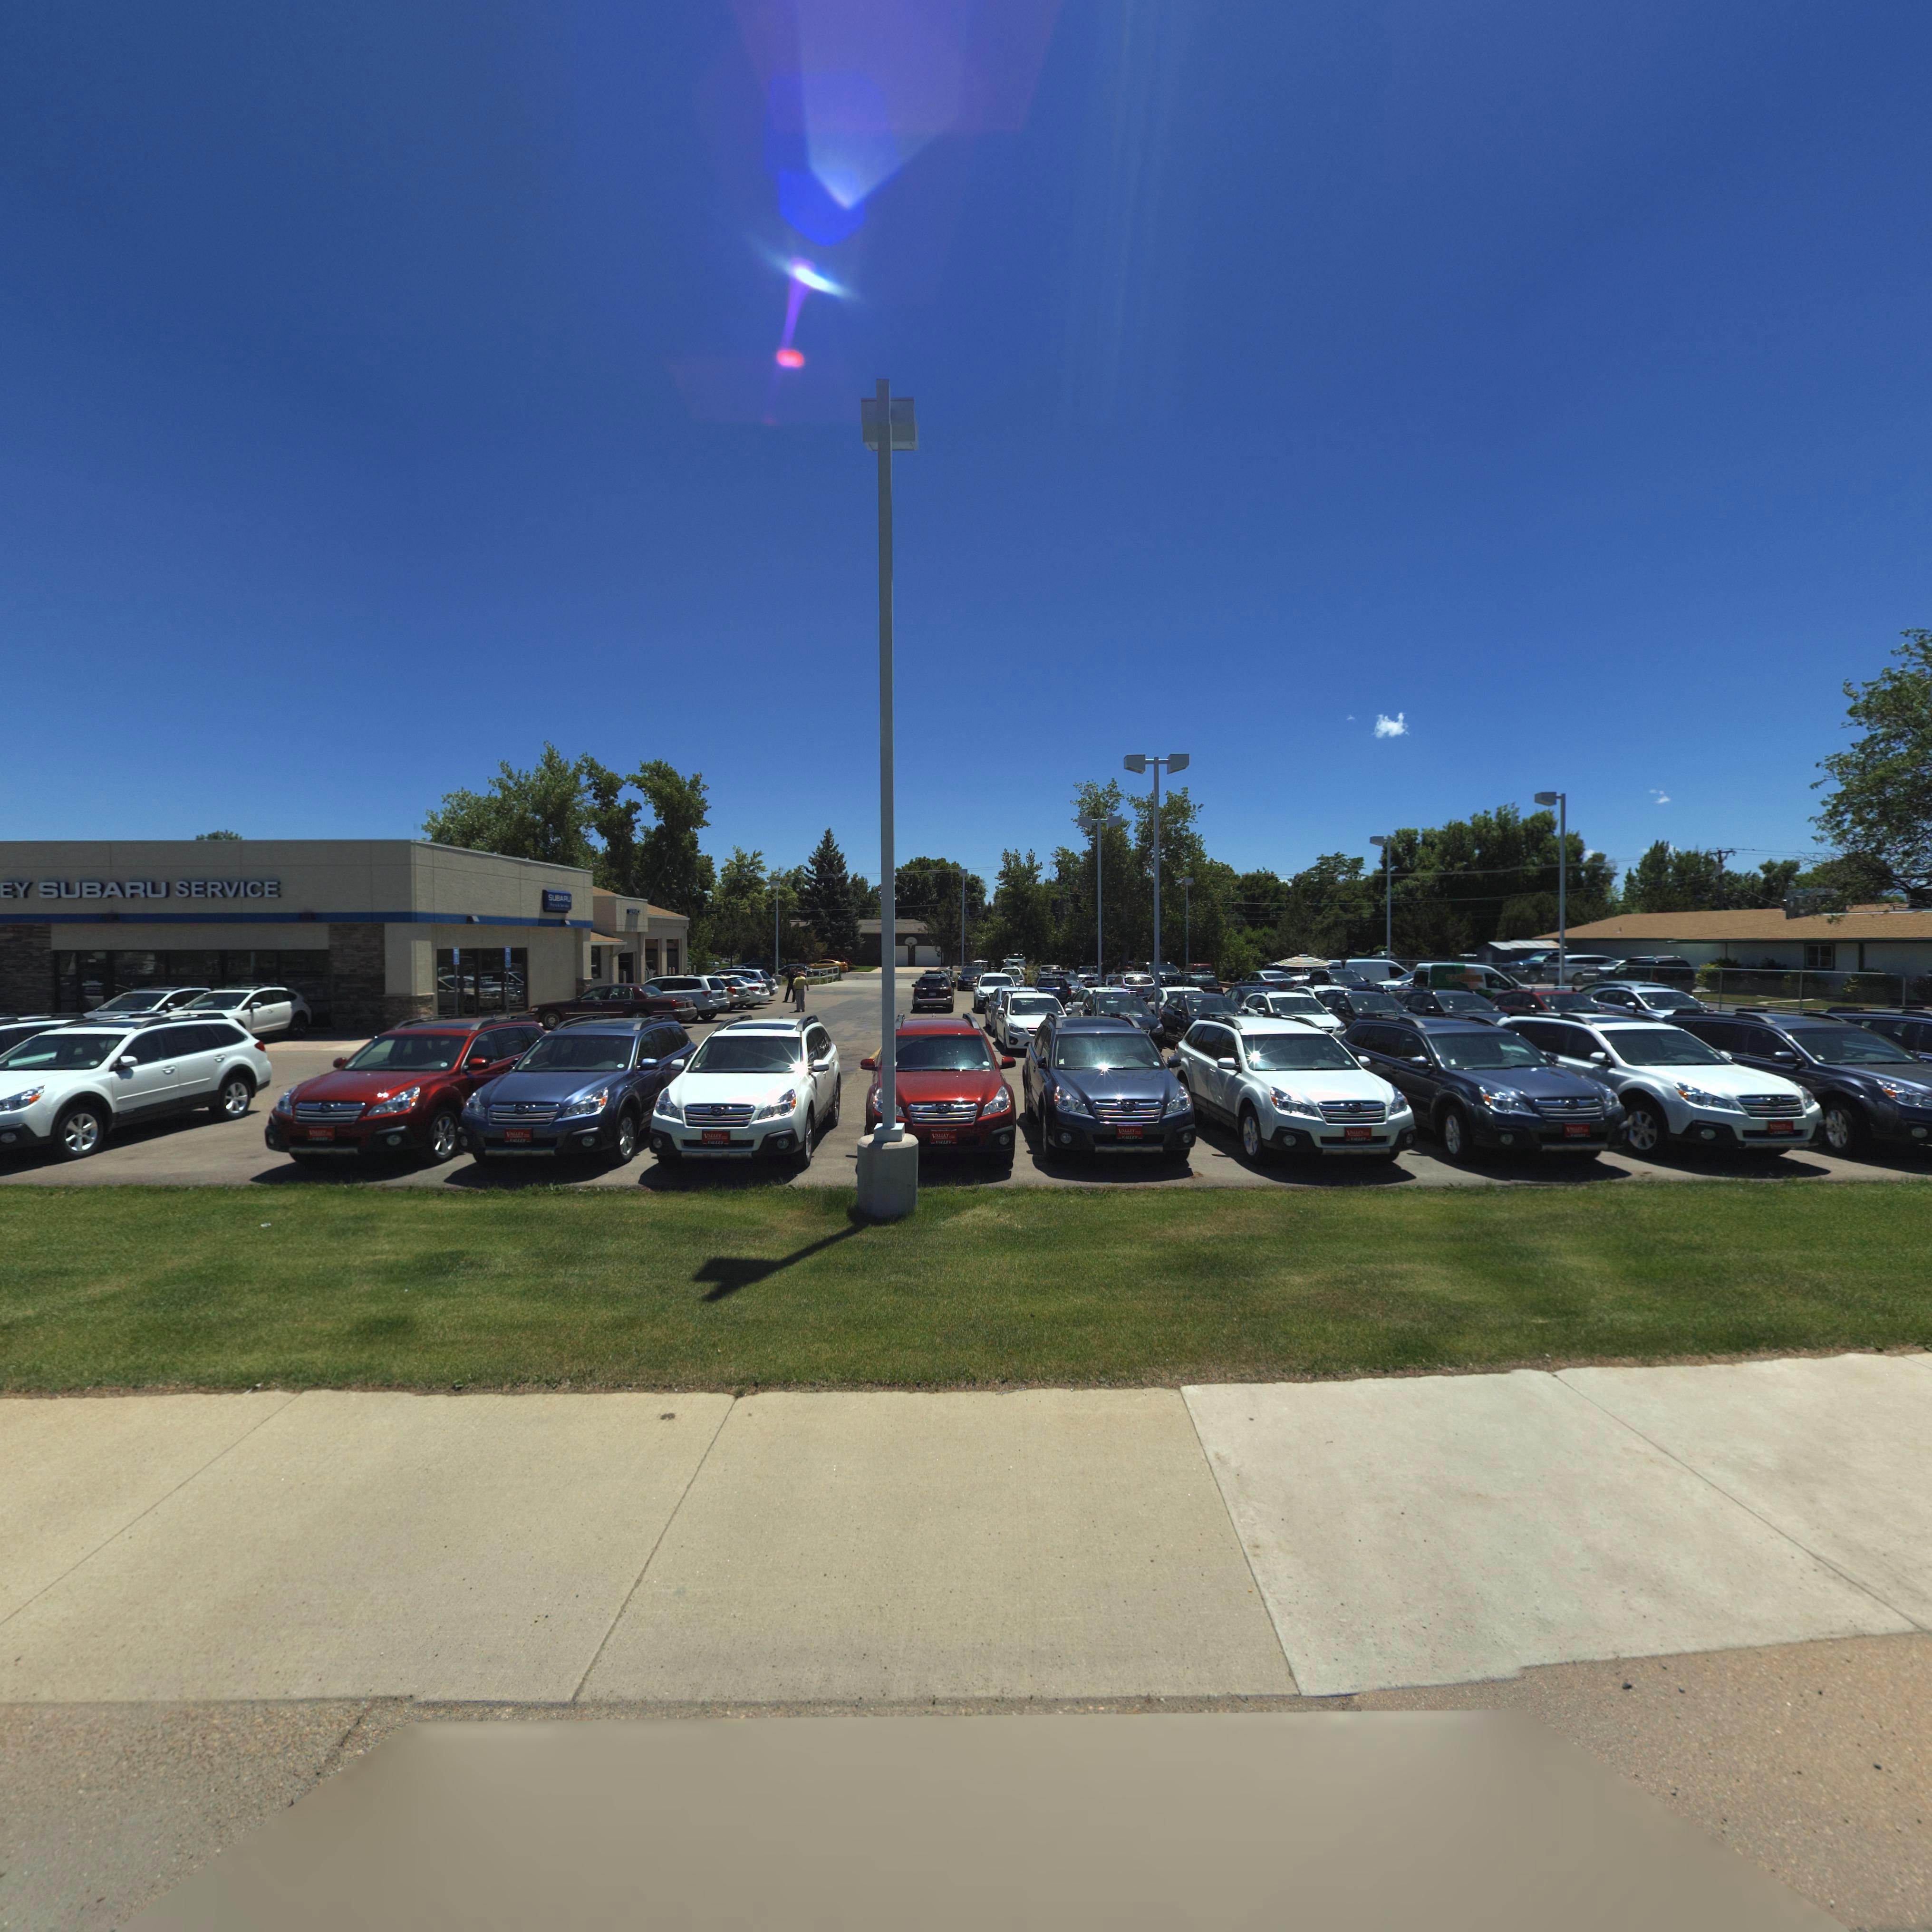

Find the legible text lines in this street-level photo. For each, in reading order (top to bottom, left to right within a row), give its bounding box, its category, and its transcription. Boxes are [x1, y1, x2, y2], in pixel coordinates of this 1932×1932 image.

[548, 894, 571, 902] BusinessName: SUBARU